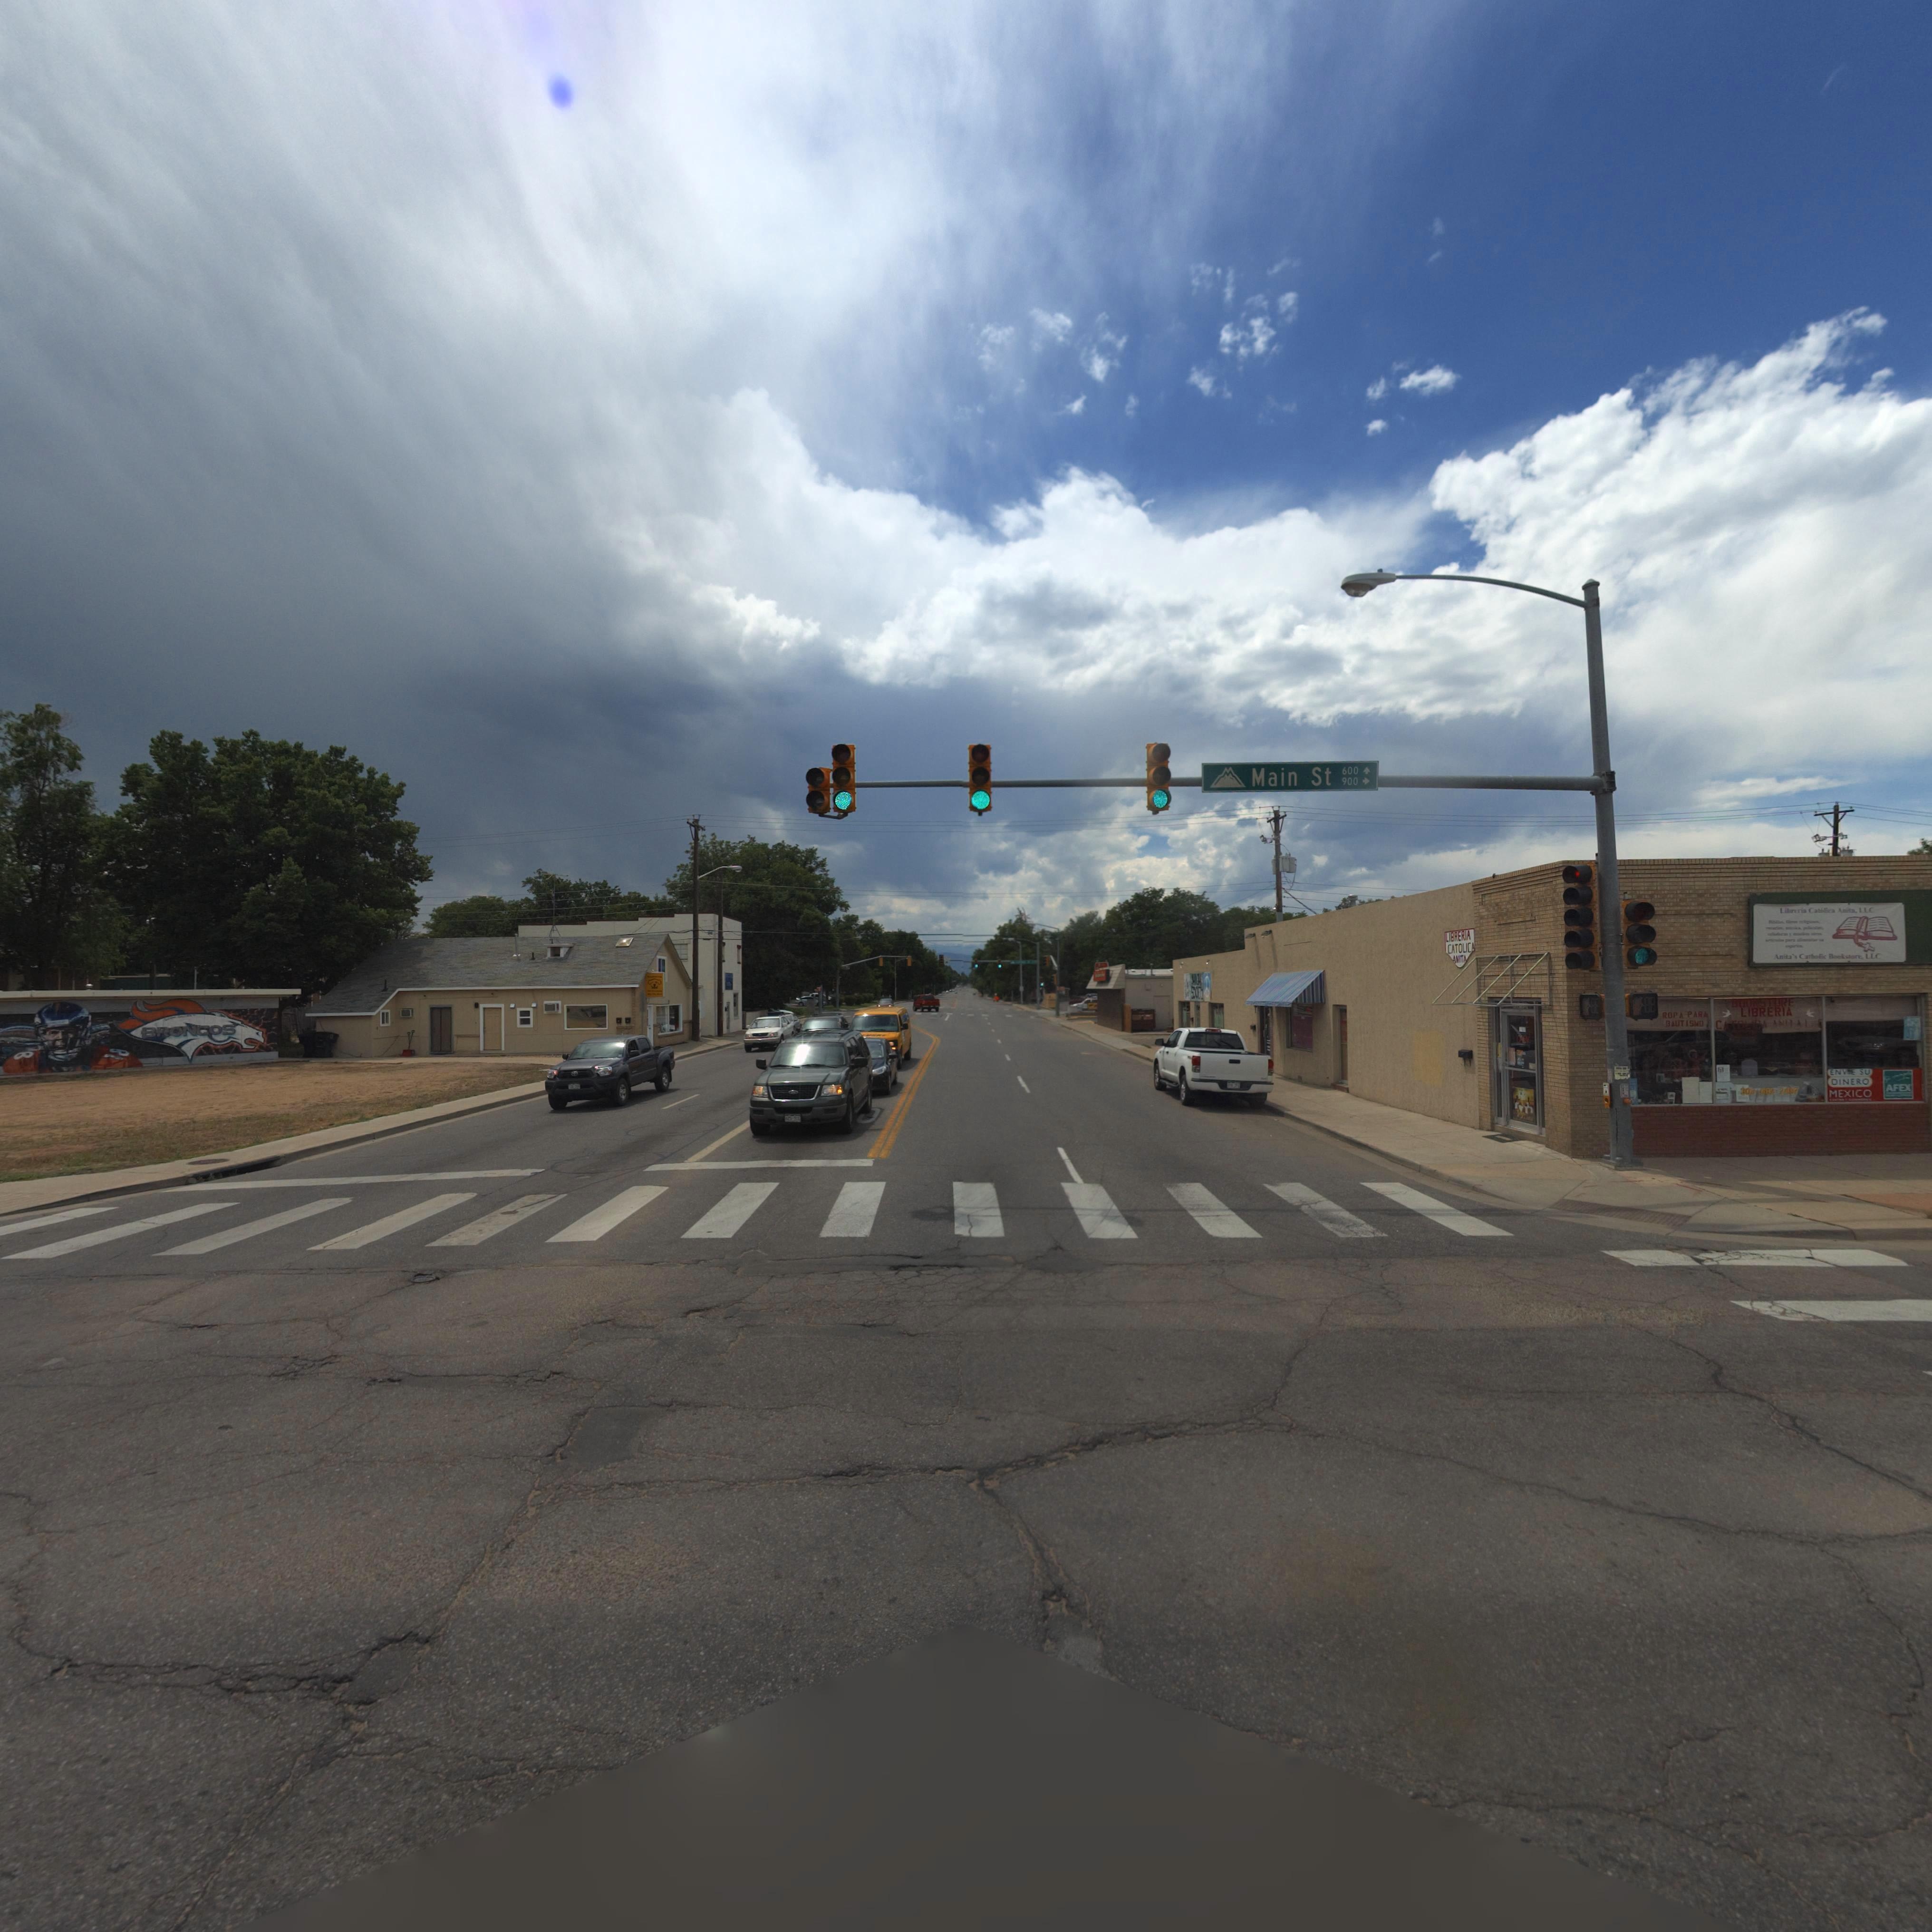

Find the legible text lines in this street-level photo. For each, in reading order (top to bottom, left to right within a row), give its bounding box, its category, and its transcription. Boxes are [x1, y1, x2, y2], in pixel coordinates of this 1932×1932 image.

[1251, 765, 1333, 787] StreetName: Main St
[1341, 765, 1359, 775] StreetNumberRange: 600
[1341, 776, 1371, 786] StreetNumberRange: 900->
[1779, 906, 1875, 914] BusinessName: Libreria Catolica Anita LLC
[1445, 929, 1472, 942] BusinessName: LIBRERIA
[1447, 941, 1476, 955] BusinessName: CATOLICA
[1451, 955, 1468, 963] BusinessName: ANITA
[1772, 952, 1883, 960] BusinessName: Anita*s Catholic Bookstore LLC
[1190, 973, 1202, 986] BusinessName: H*GH
[1190, 985, 1204, 1000] BusinessName: SOC*ET*